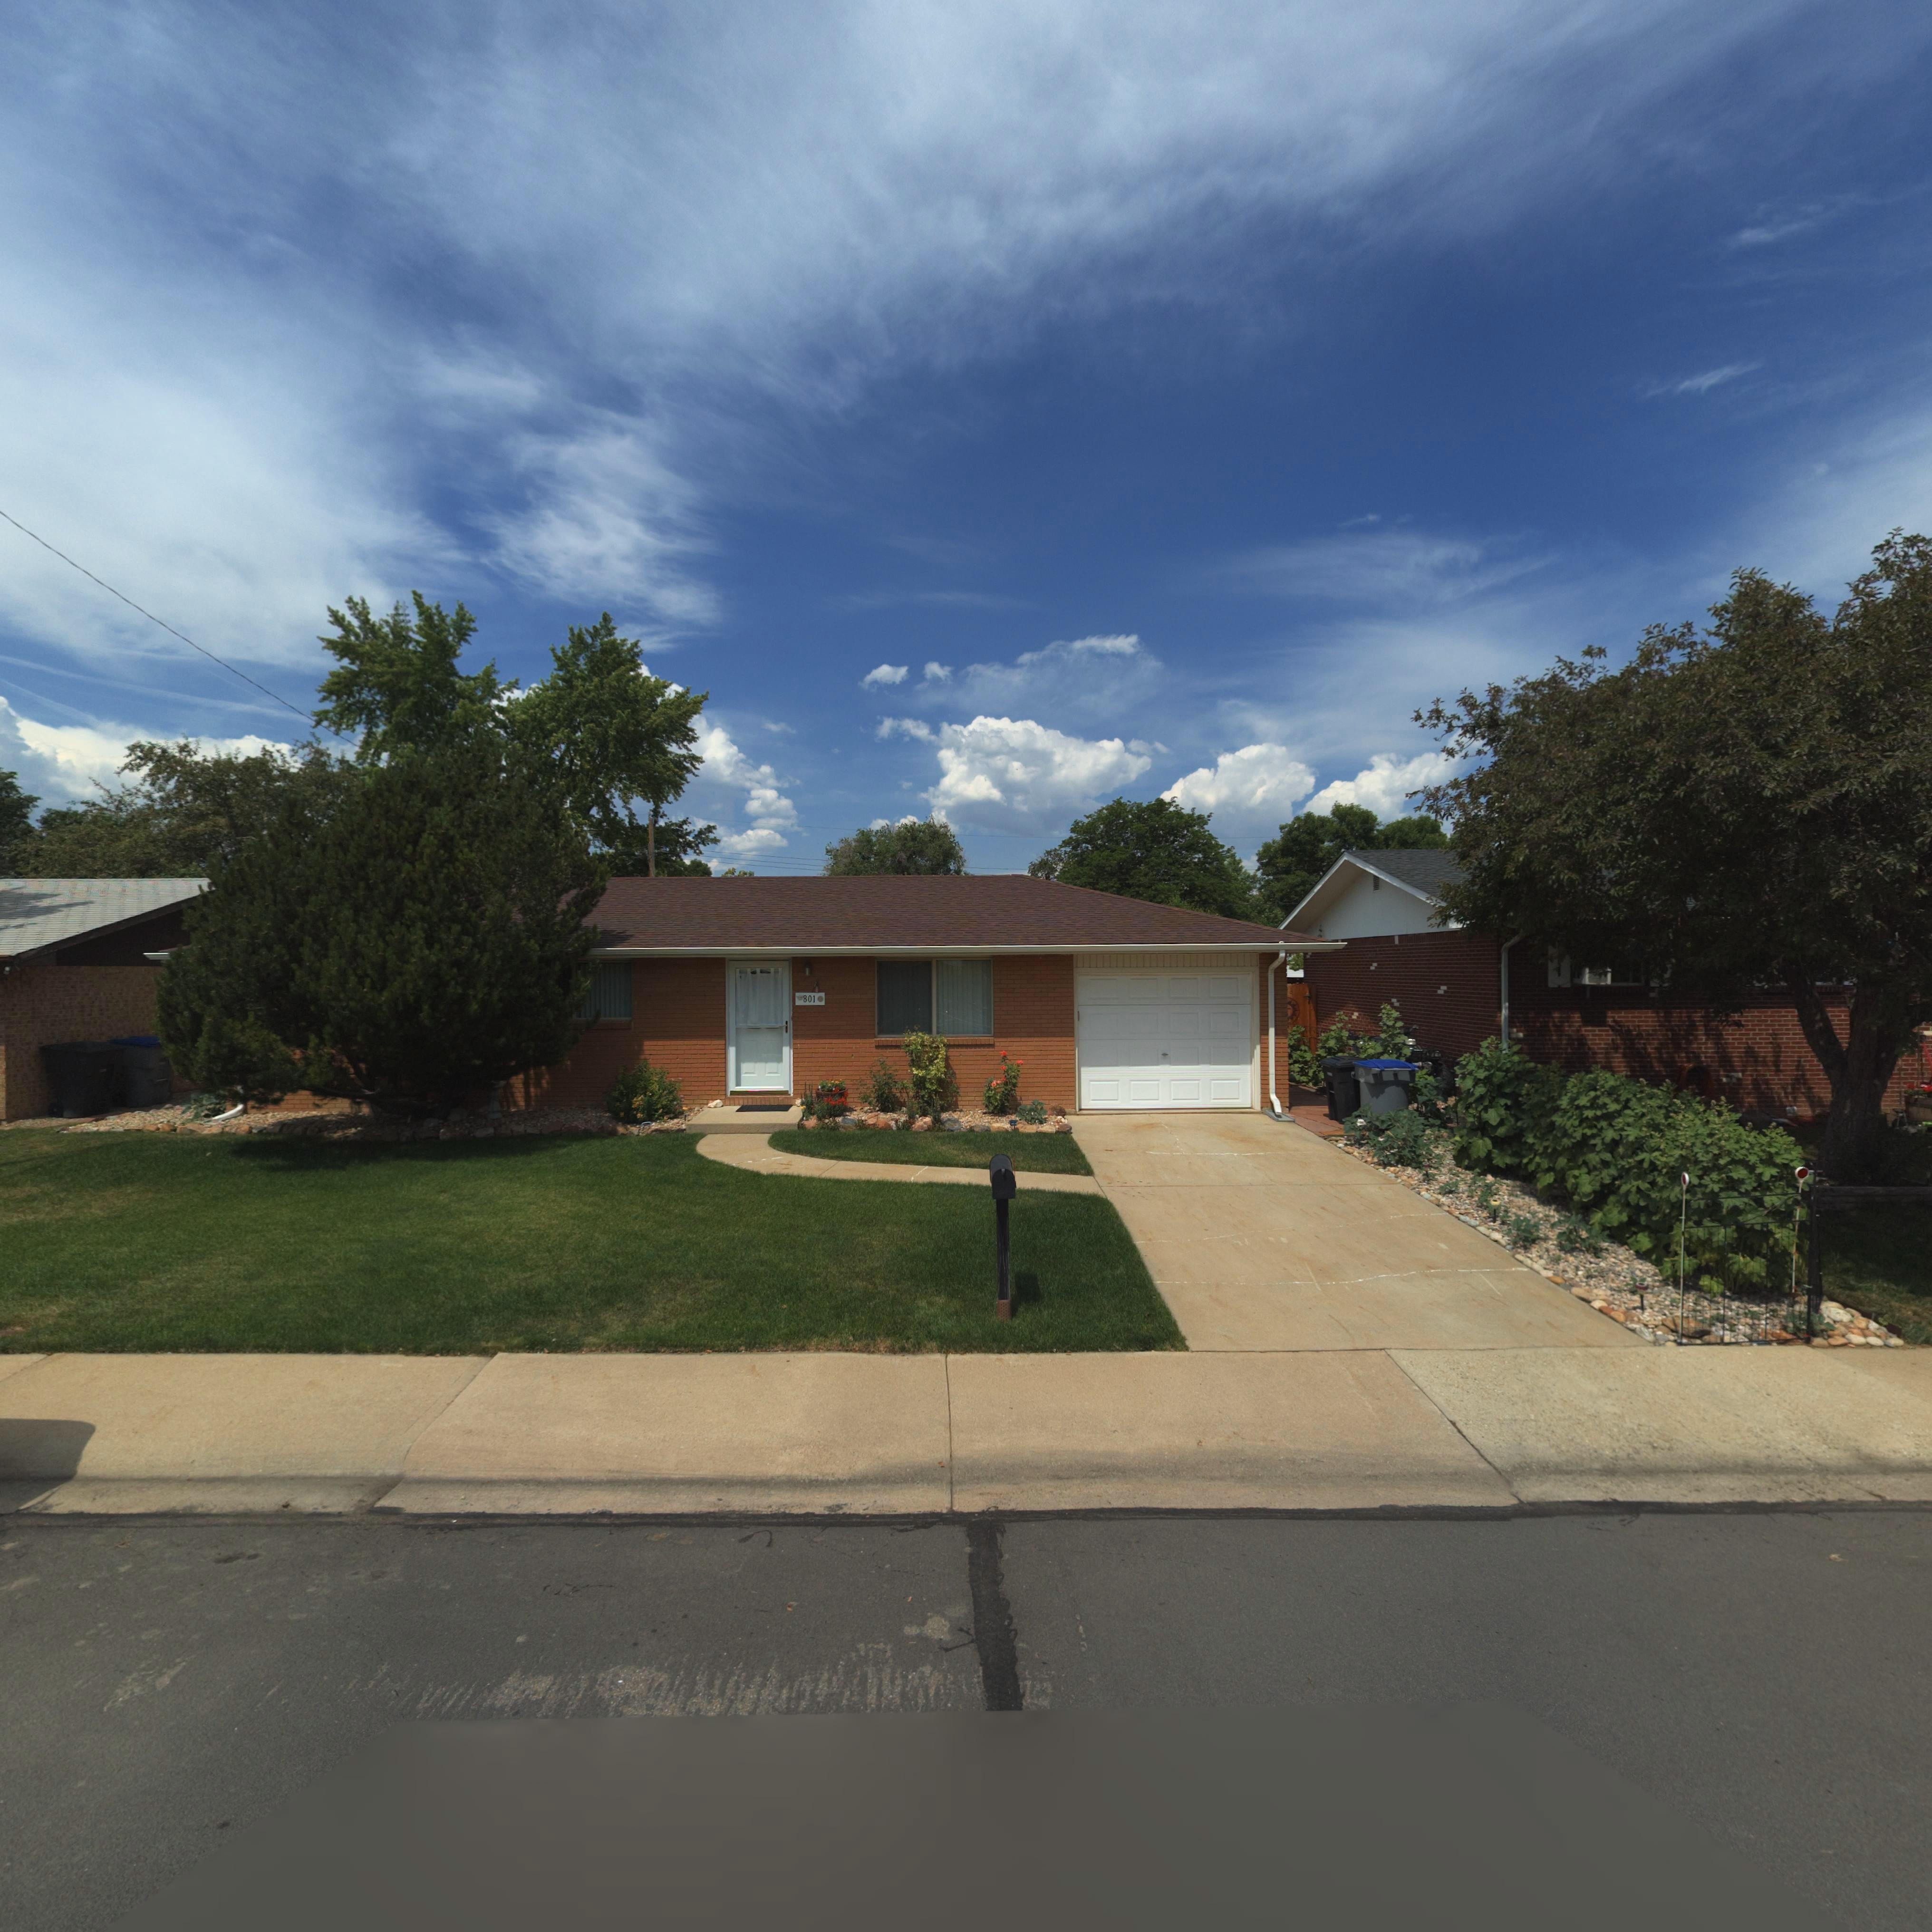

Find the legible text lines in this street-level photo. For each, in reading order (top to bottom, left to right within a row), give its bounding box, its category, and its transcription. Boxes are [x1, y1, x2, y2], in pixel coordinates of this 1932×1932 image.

[802, 995, 815, 1003] StreetNumber: 801